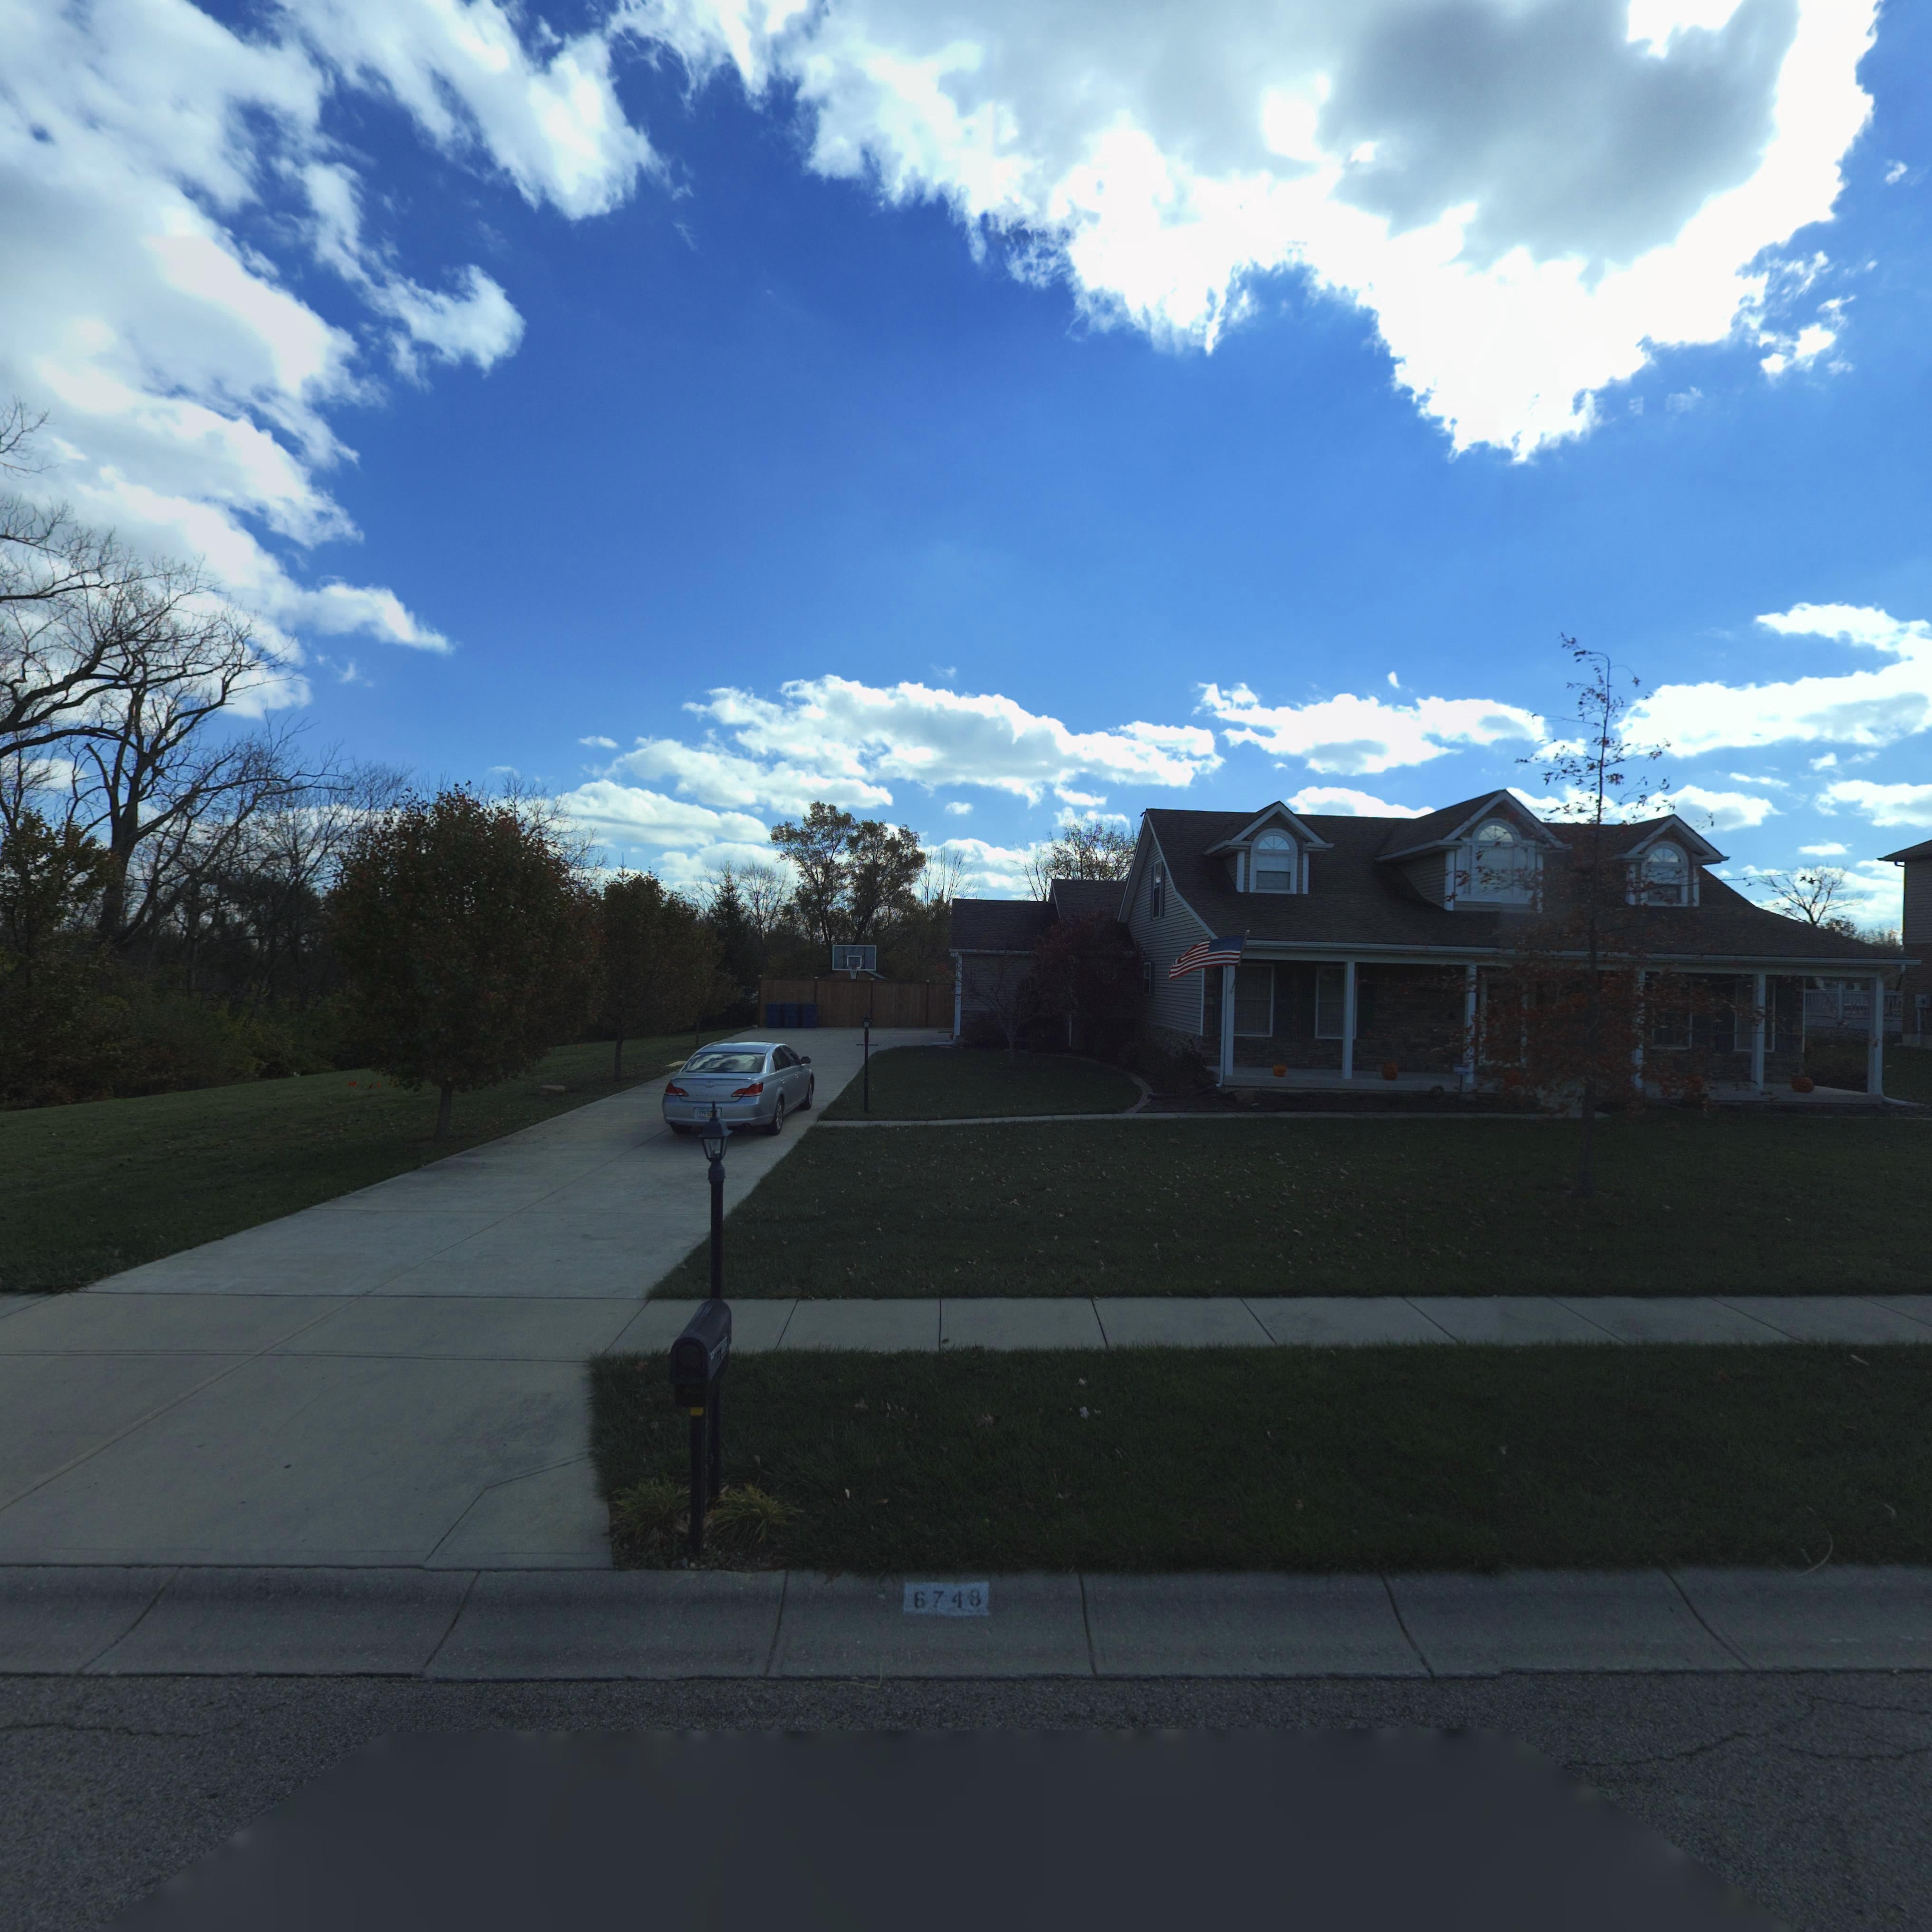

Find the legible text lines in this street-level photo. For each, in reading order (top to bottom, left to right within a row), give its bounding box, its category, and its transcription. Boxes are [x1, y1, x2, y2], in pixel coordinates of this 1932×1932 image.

[913, 1587, 981, 1610] StreetNumber: 6748